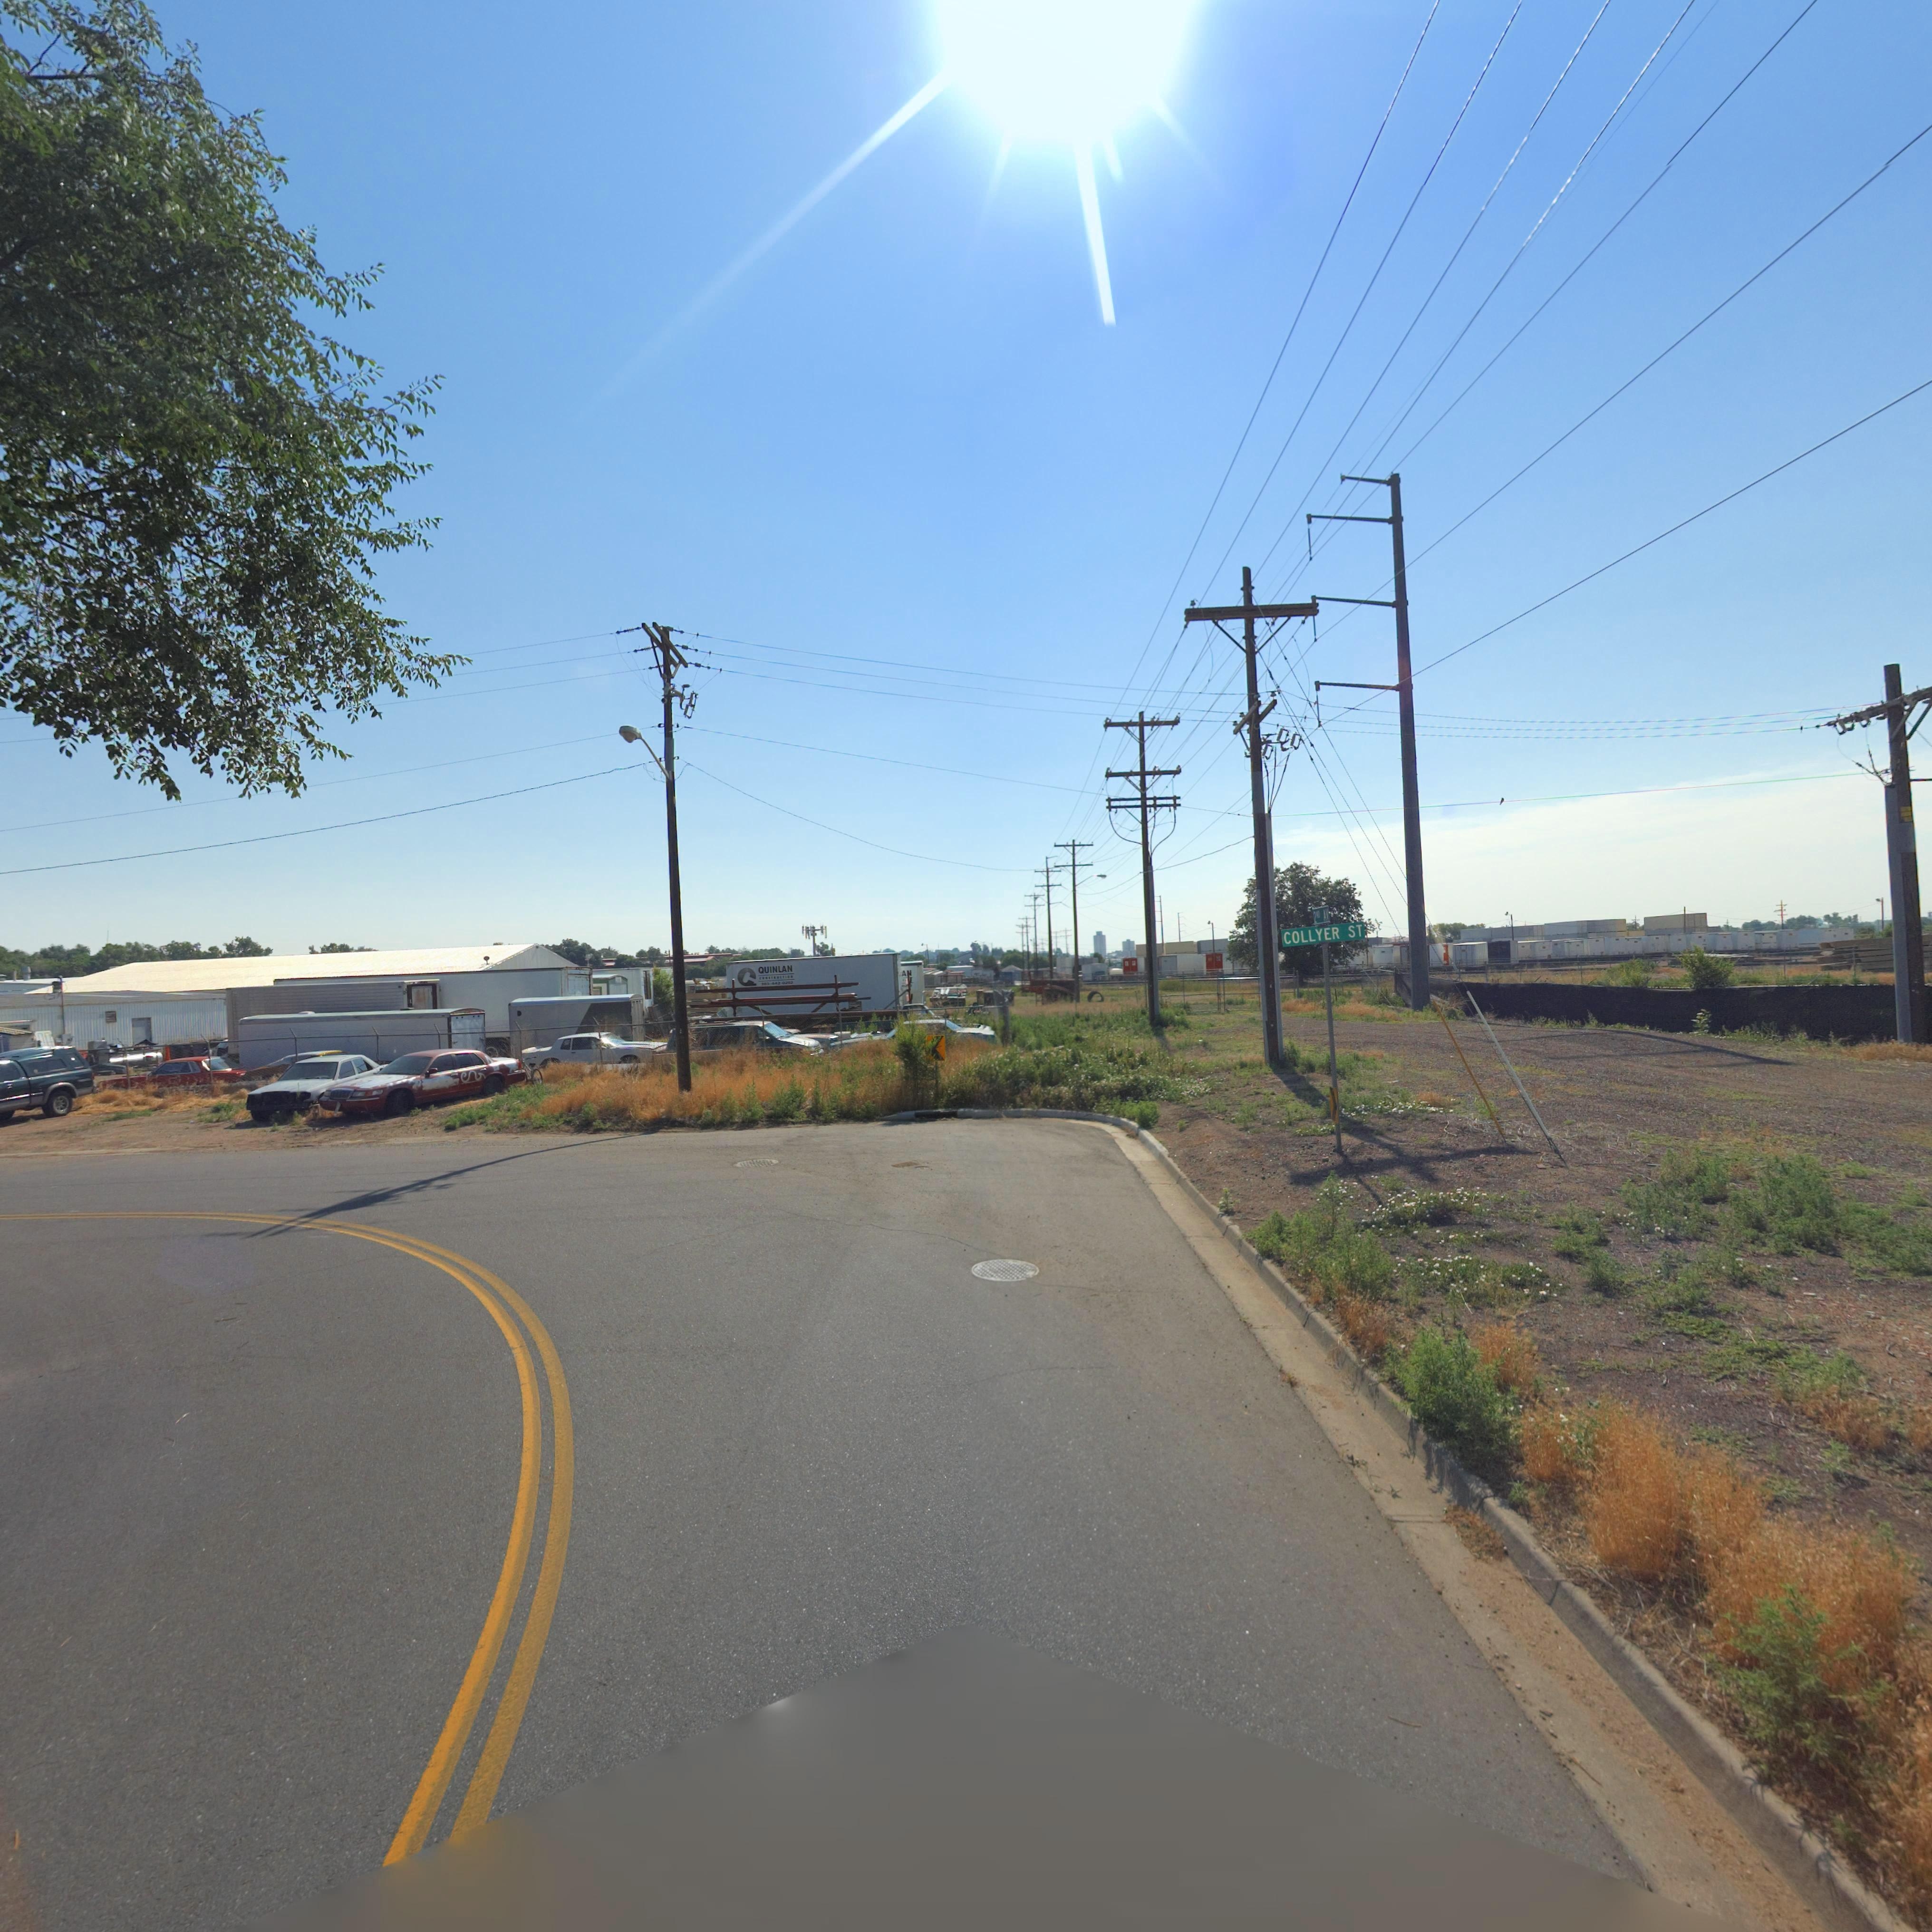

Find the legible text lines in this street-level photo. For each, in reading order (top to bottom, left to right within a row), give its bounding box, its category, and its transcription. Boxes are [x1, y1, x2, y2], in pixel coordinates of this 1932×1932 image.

[1312, 908, 1329, 923] StreetName: 2ND AV
[1283, 924, 1362, 945] StreetName: COLLYER ST